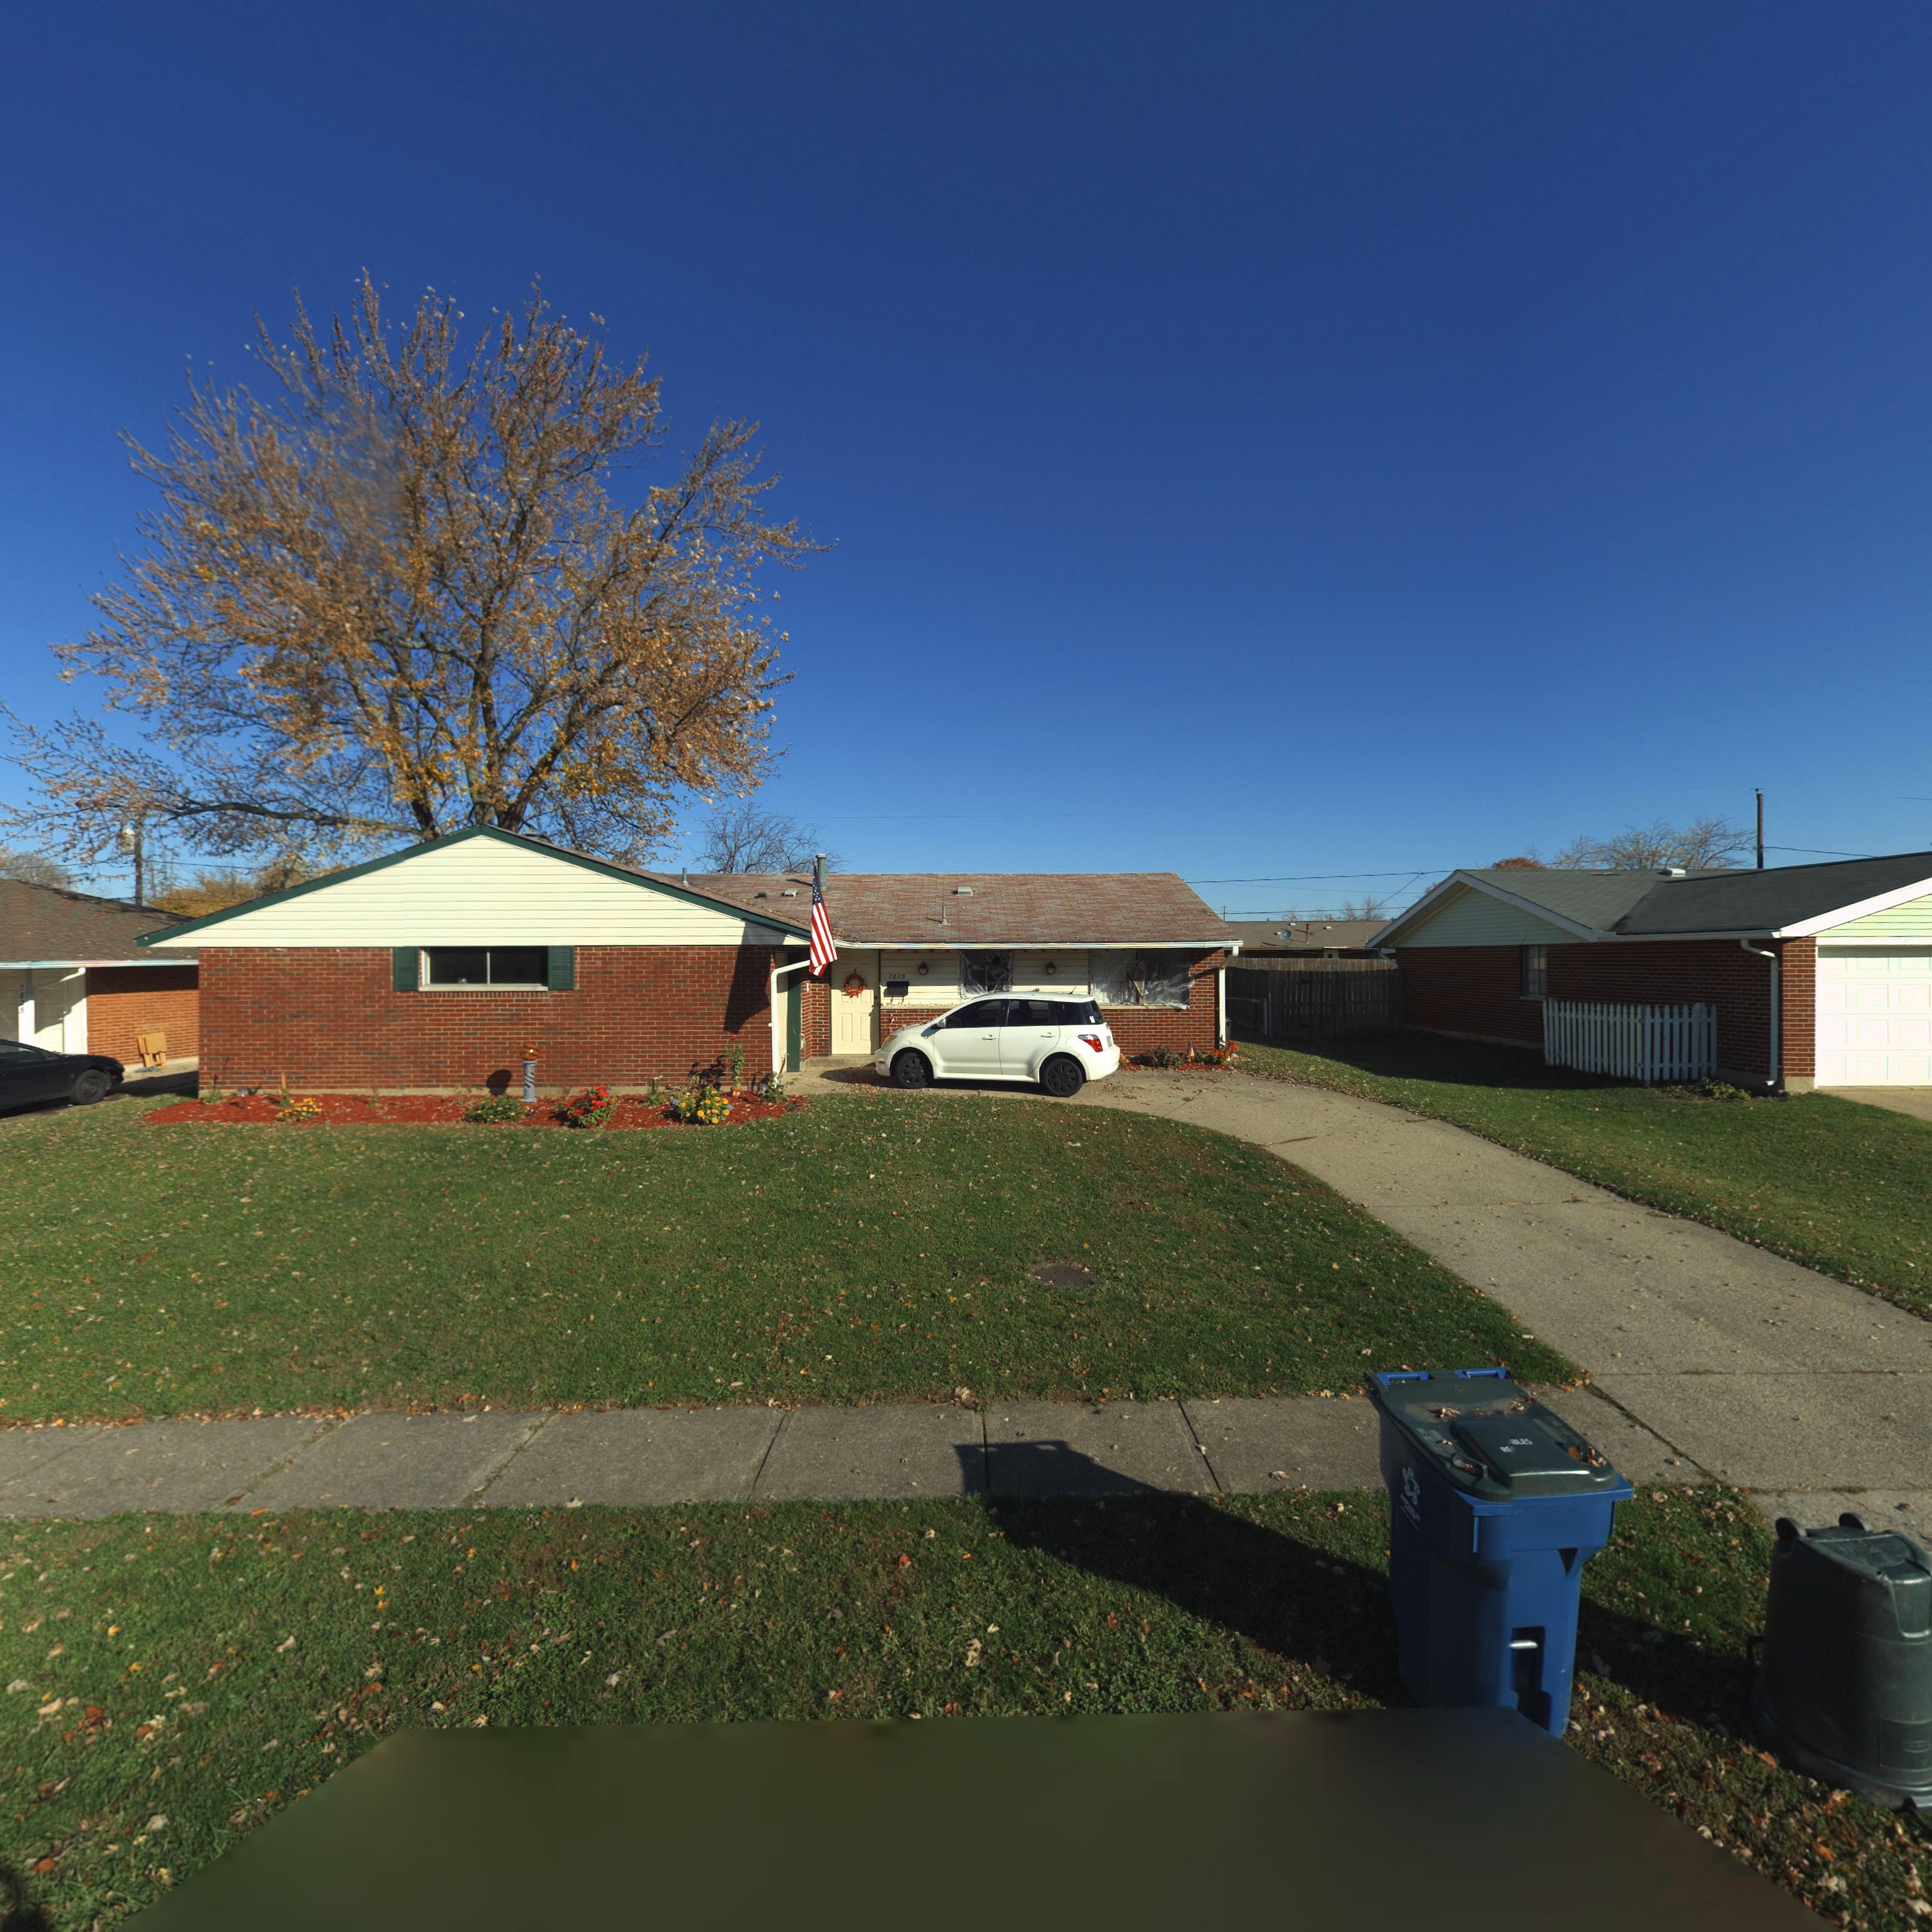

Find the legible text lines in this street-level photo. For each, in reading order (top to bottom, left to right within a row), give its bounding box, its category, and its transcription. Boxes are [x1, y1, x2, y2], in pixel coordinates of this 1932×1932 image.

[888, 973, 906, 979] StreetNumber: 7829
[17, 984, 25, 1014] StreetNumber: 7825